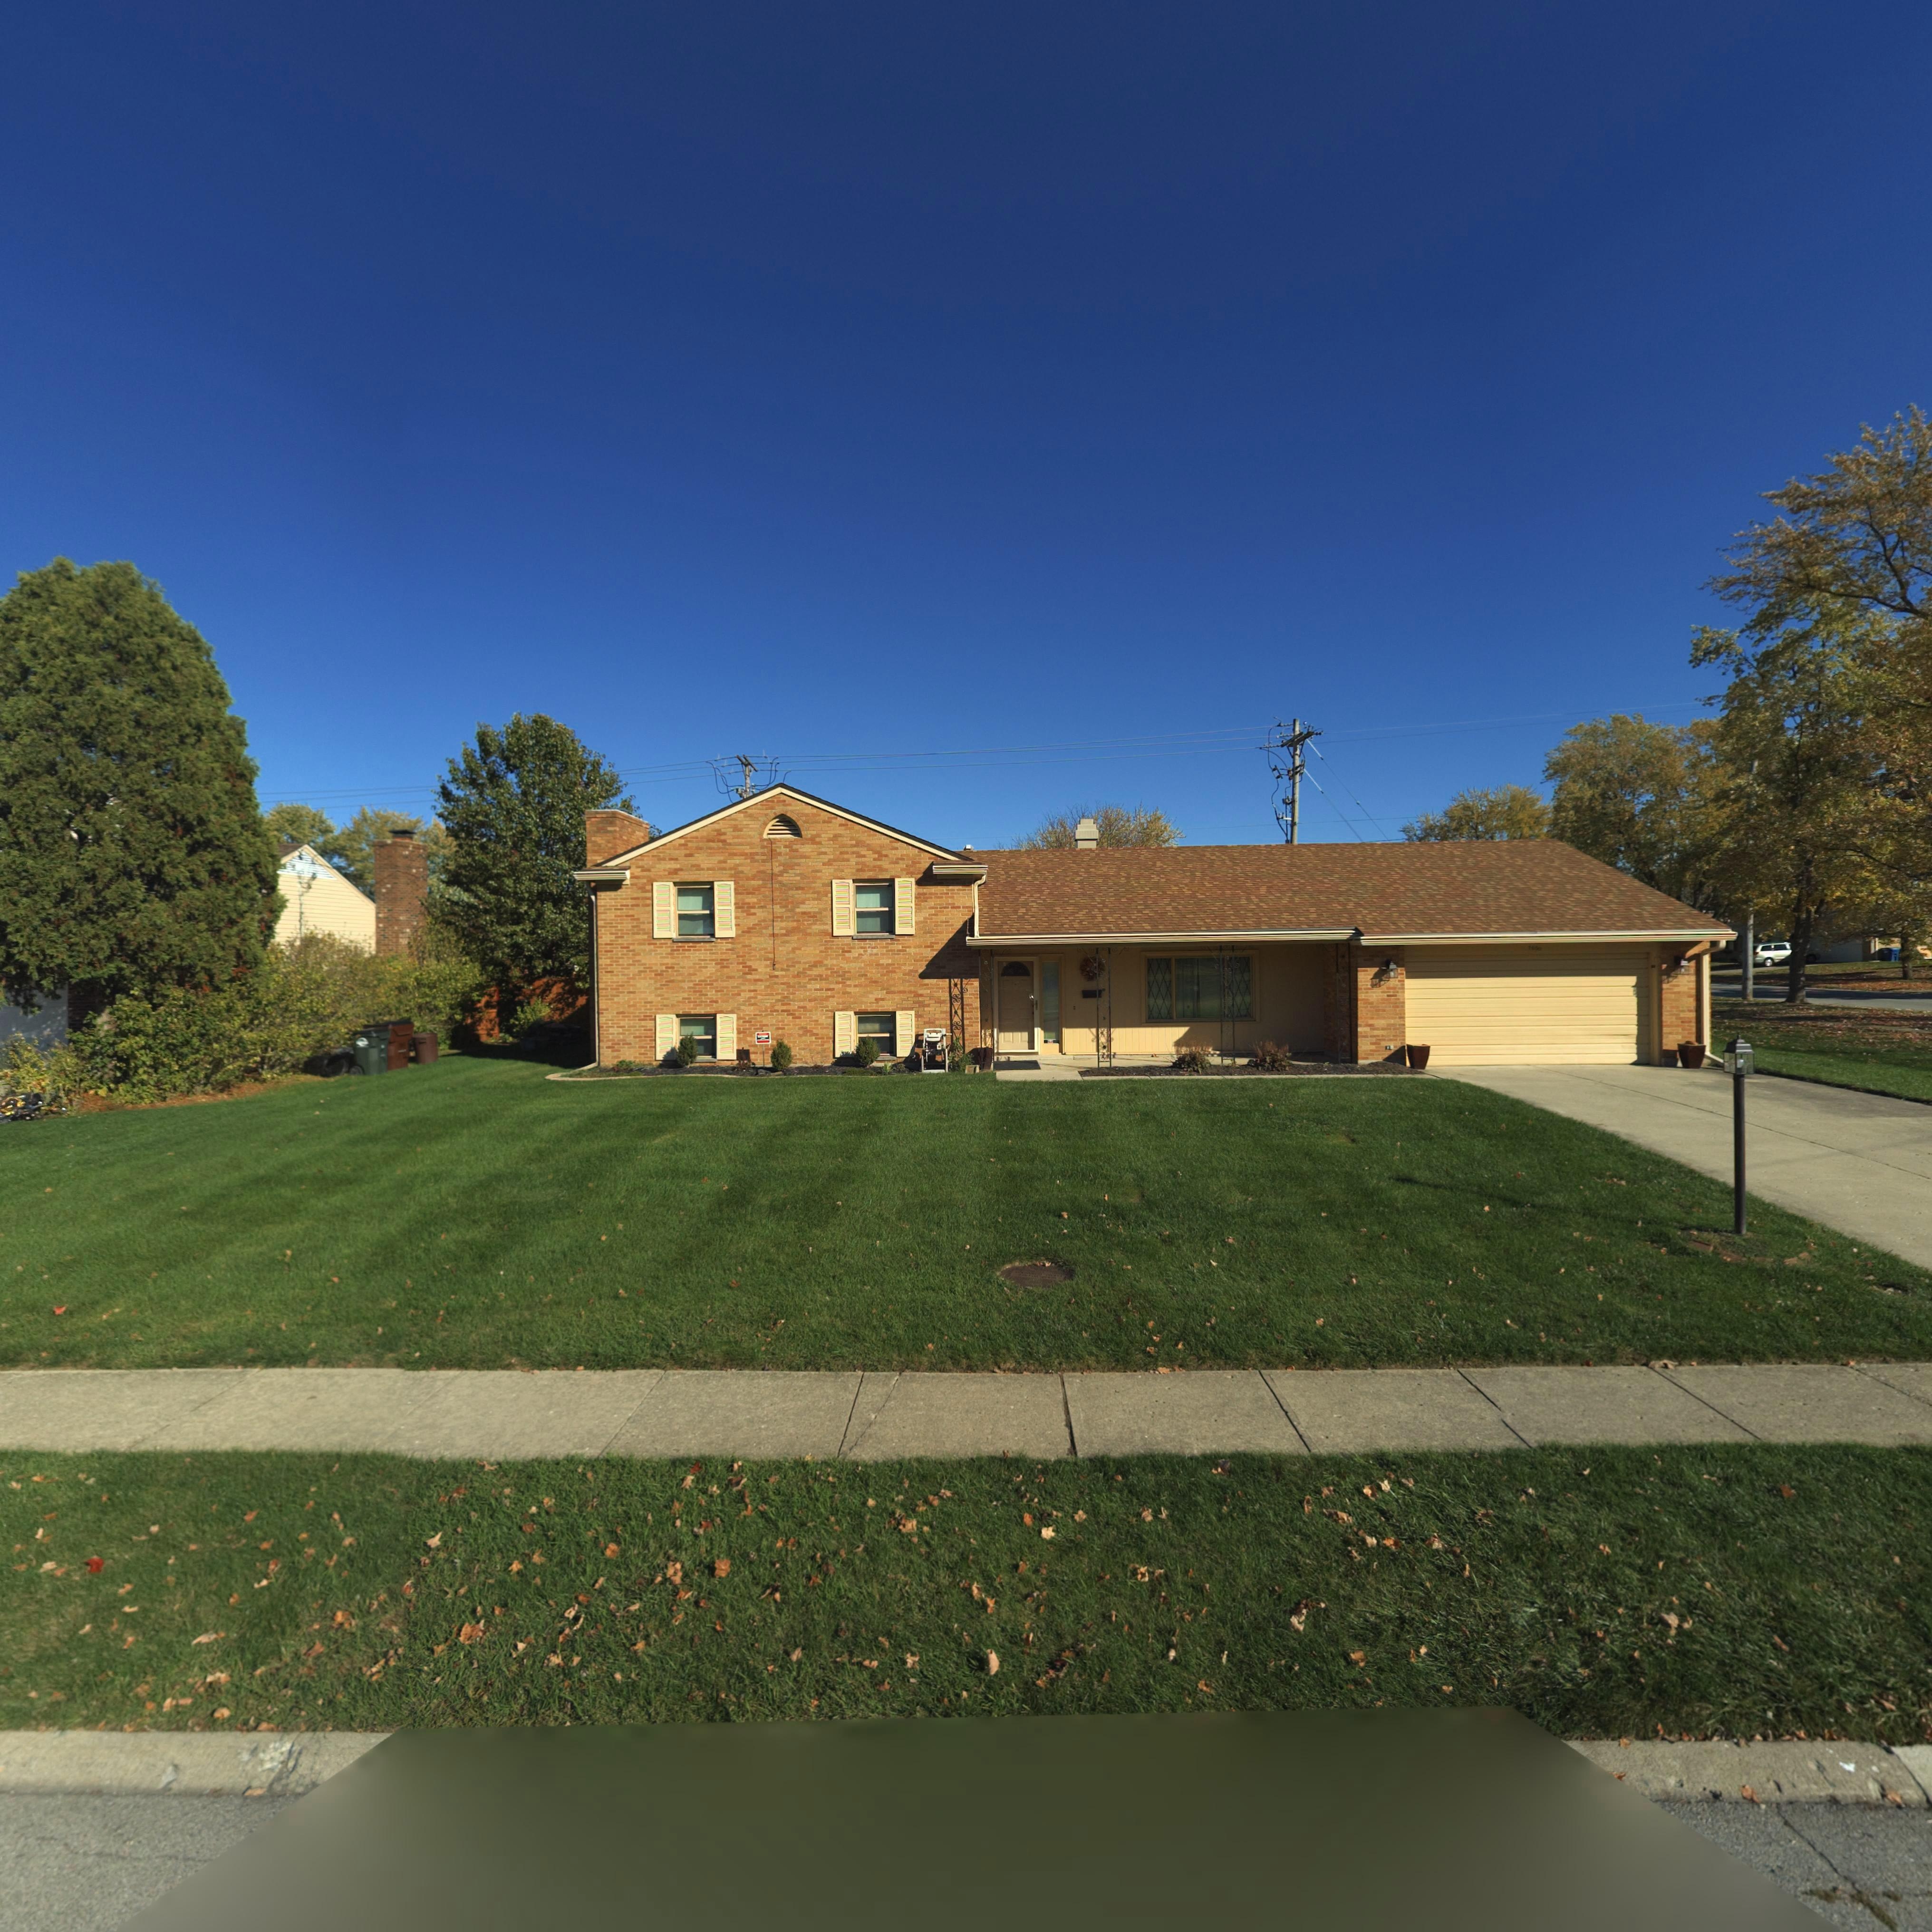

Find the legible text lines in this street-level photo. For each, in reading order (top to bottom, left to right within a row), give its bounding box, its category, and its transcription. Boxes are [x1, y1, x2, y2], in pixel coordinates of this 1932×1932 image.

[1527, 945, 1543, 951] StreetNumber: 7000